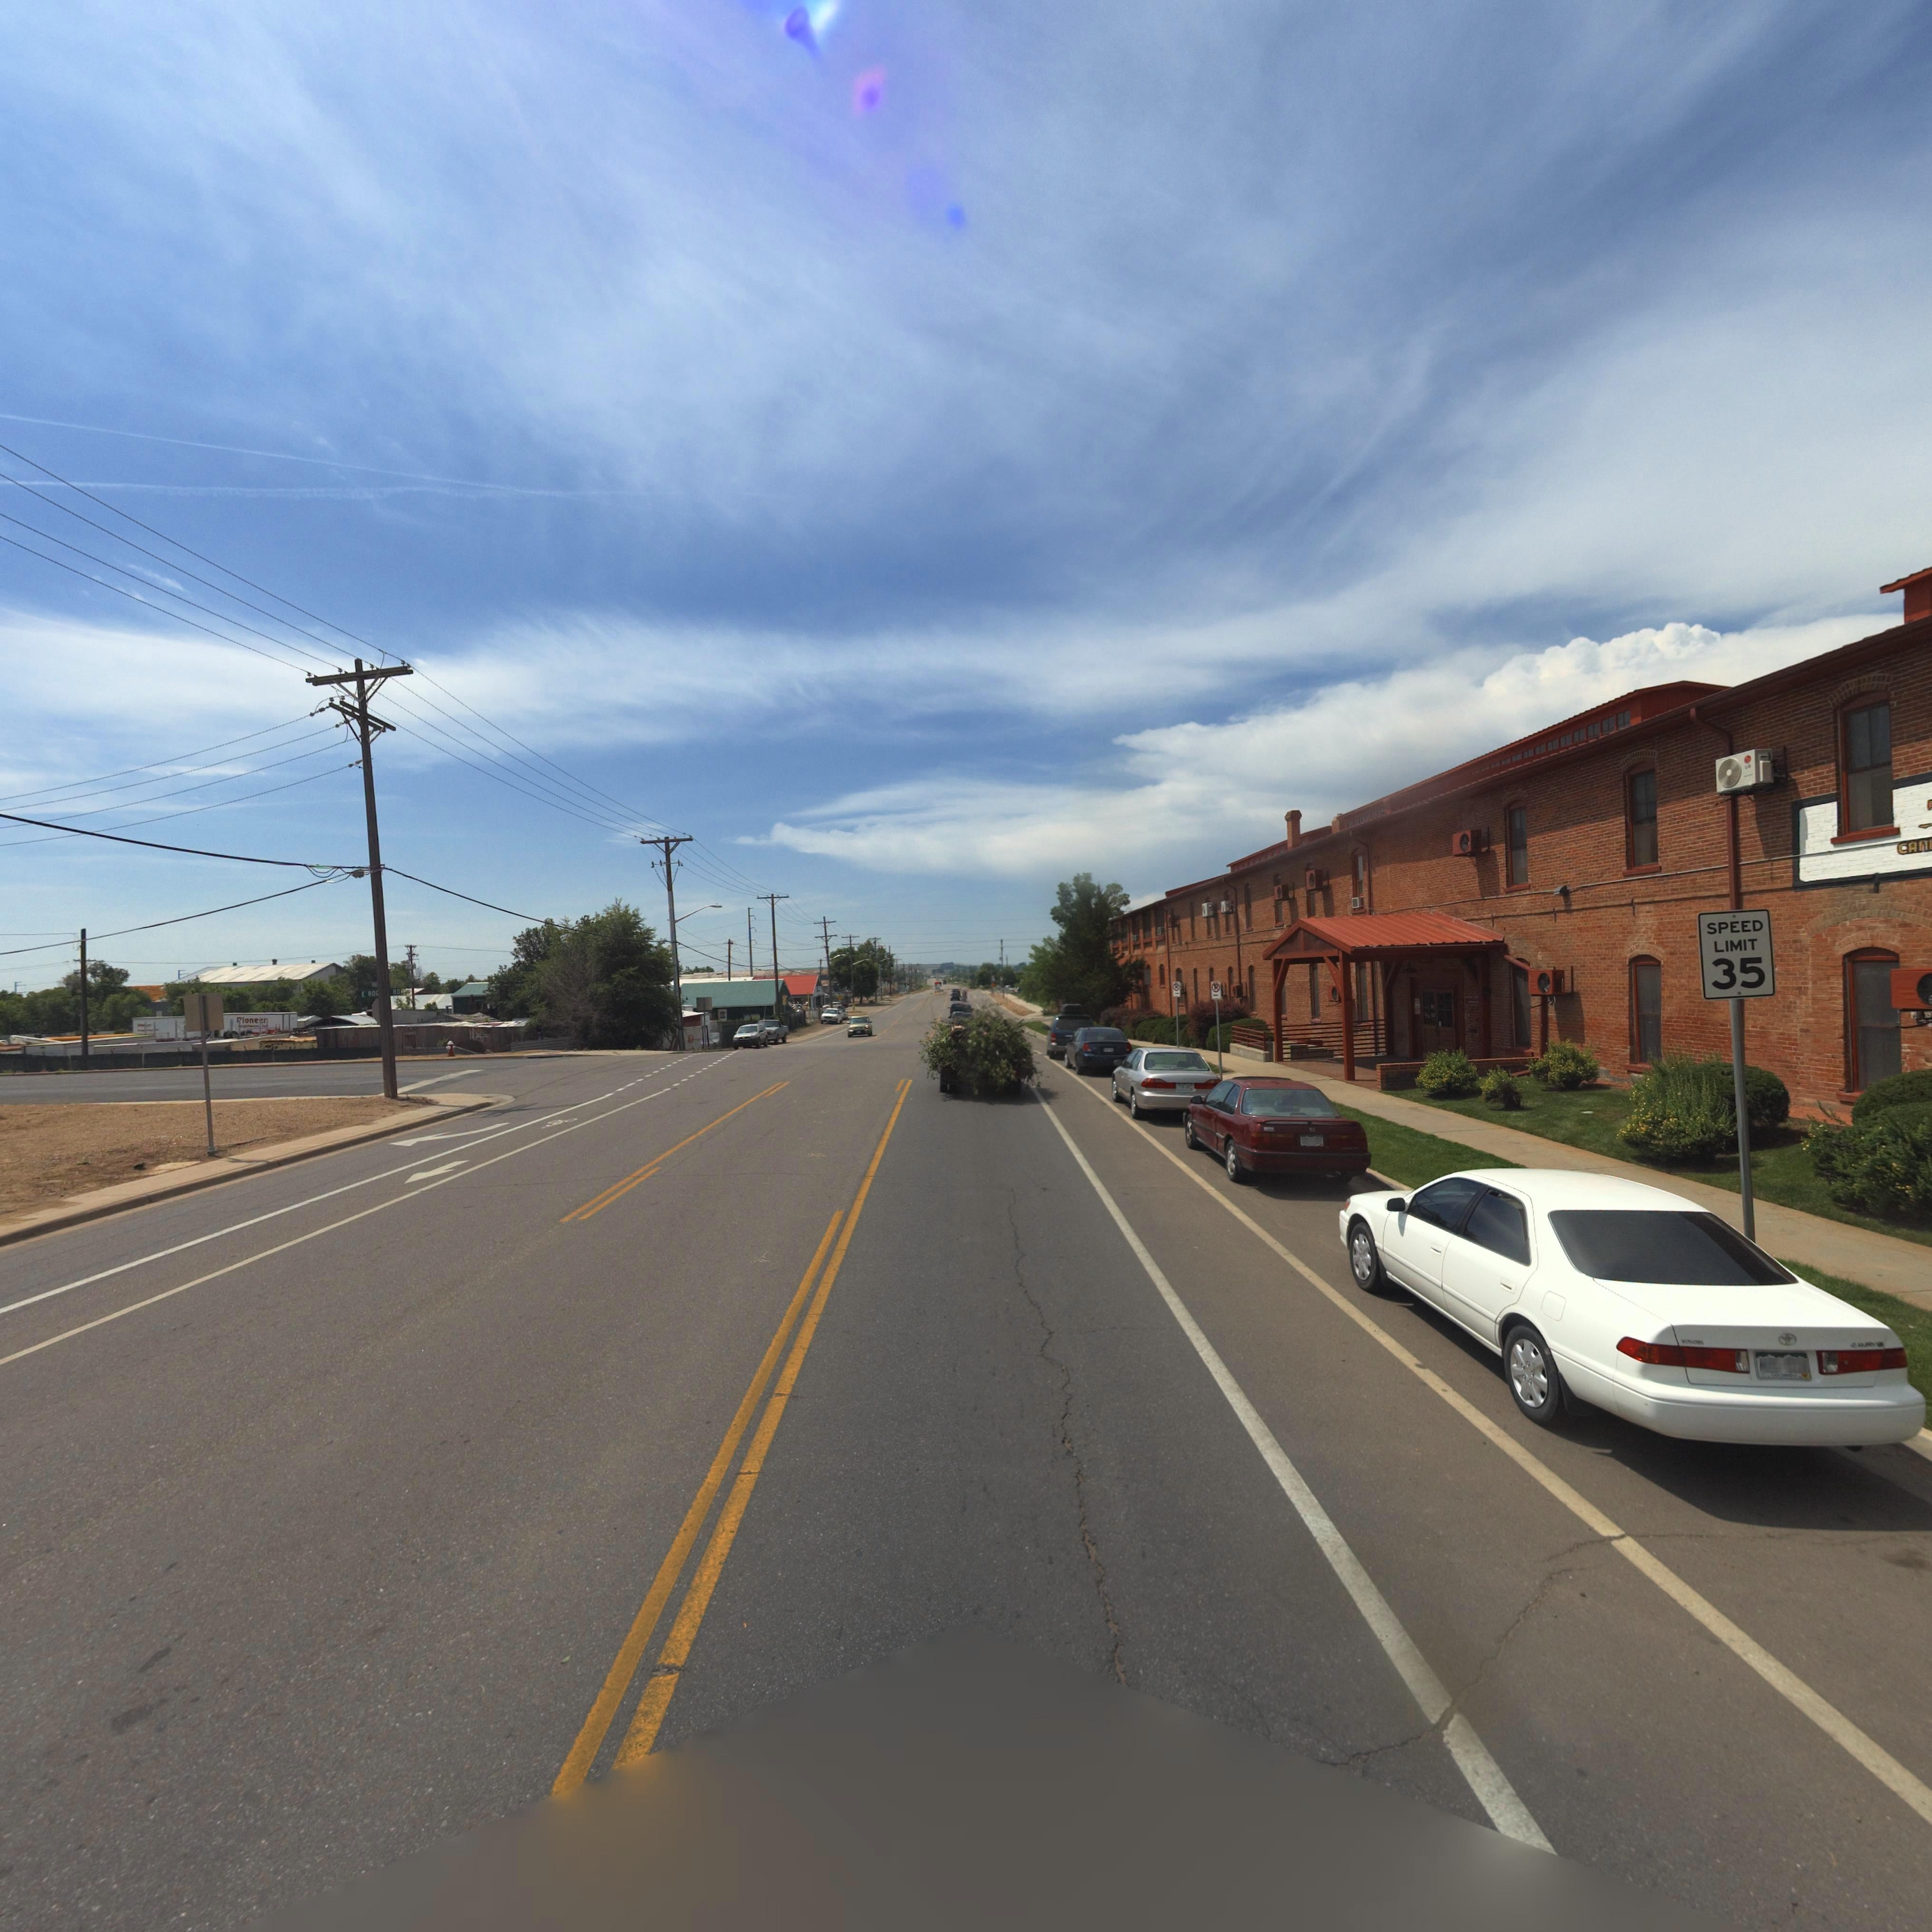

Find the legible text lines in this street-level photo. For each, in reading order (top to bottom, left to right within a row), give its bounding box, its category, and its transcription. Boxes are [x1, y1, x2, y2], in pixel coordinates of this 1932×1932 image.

[361, 988, 401, 997] StreetName: E RO***** RD